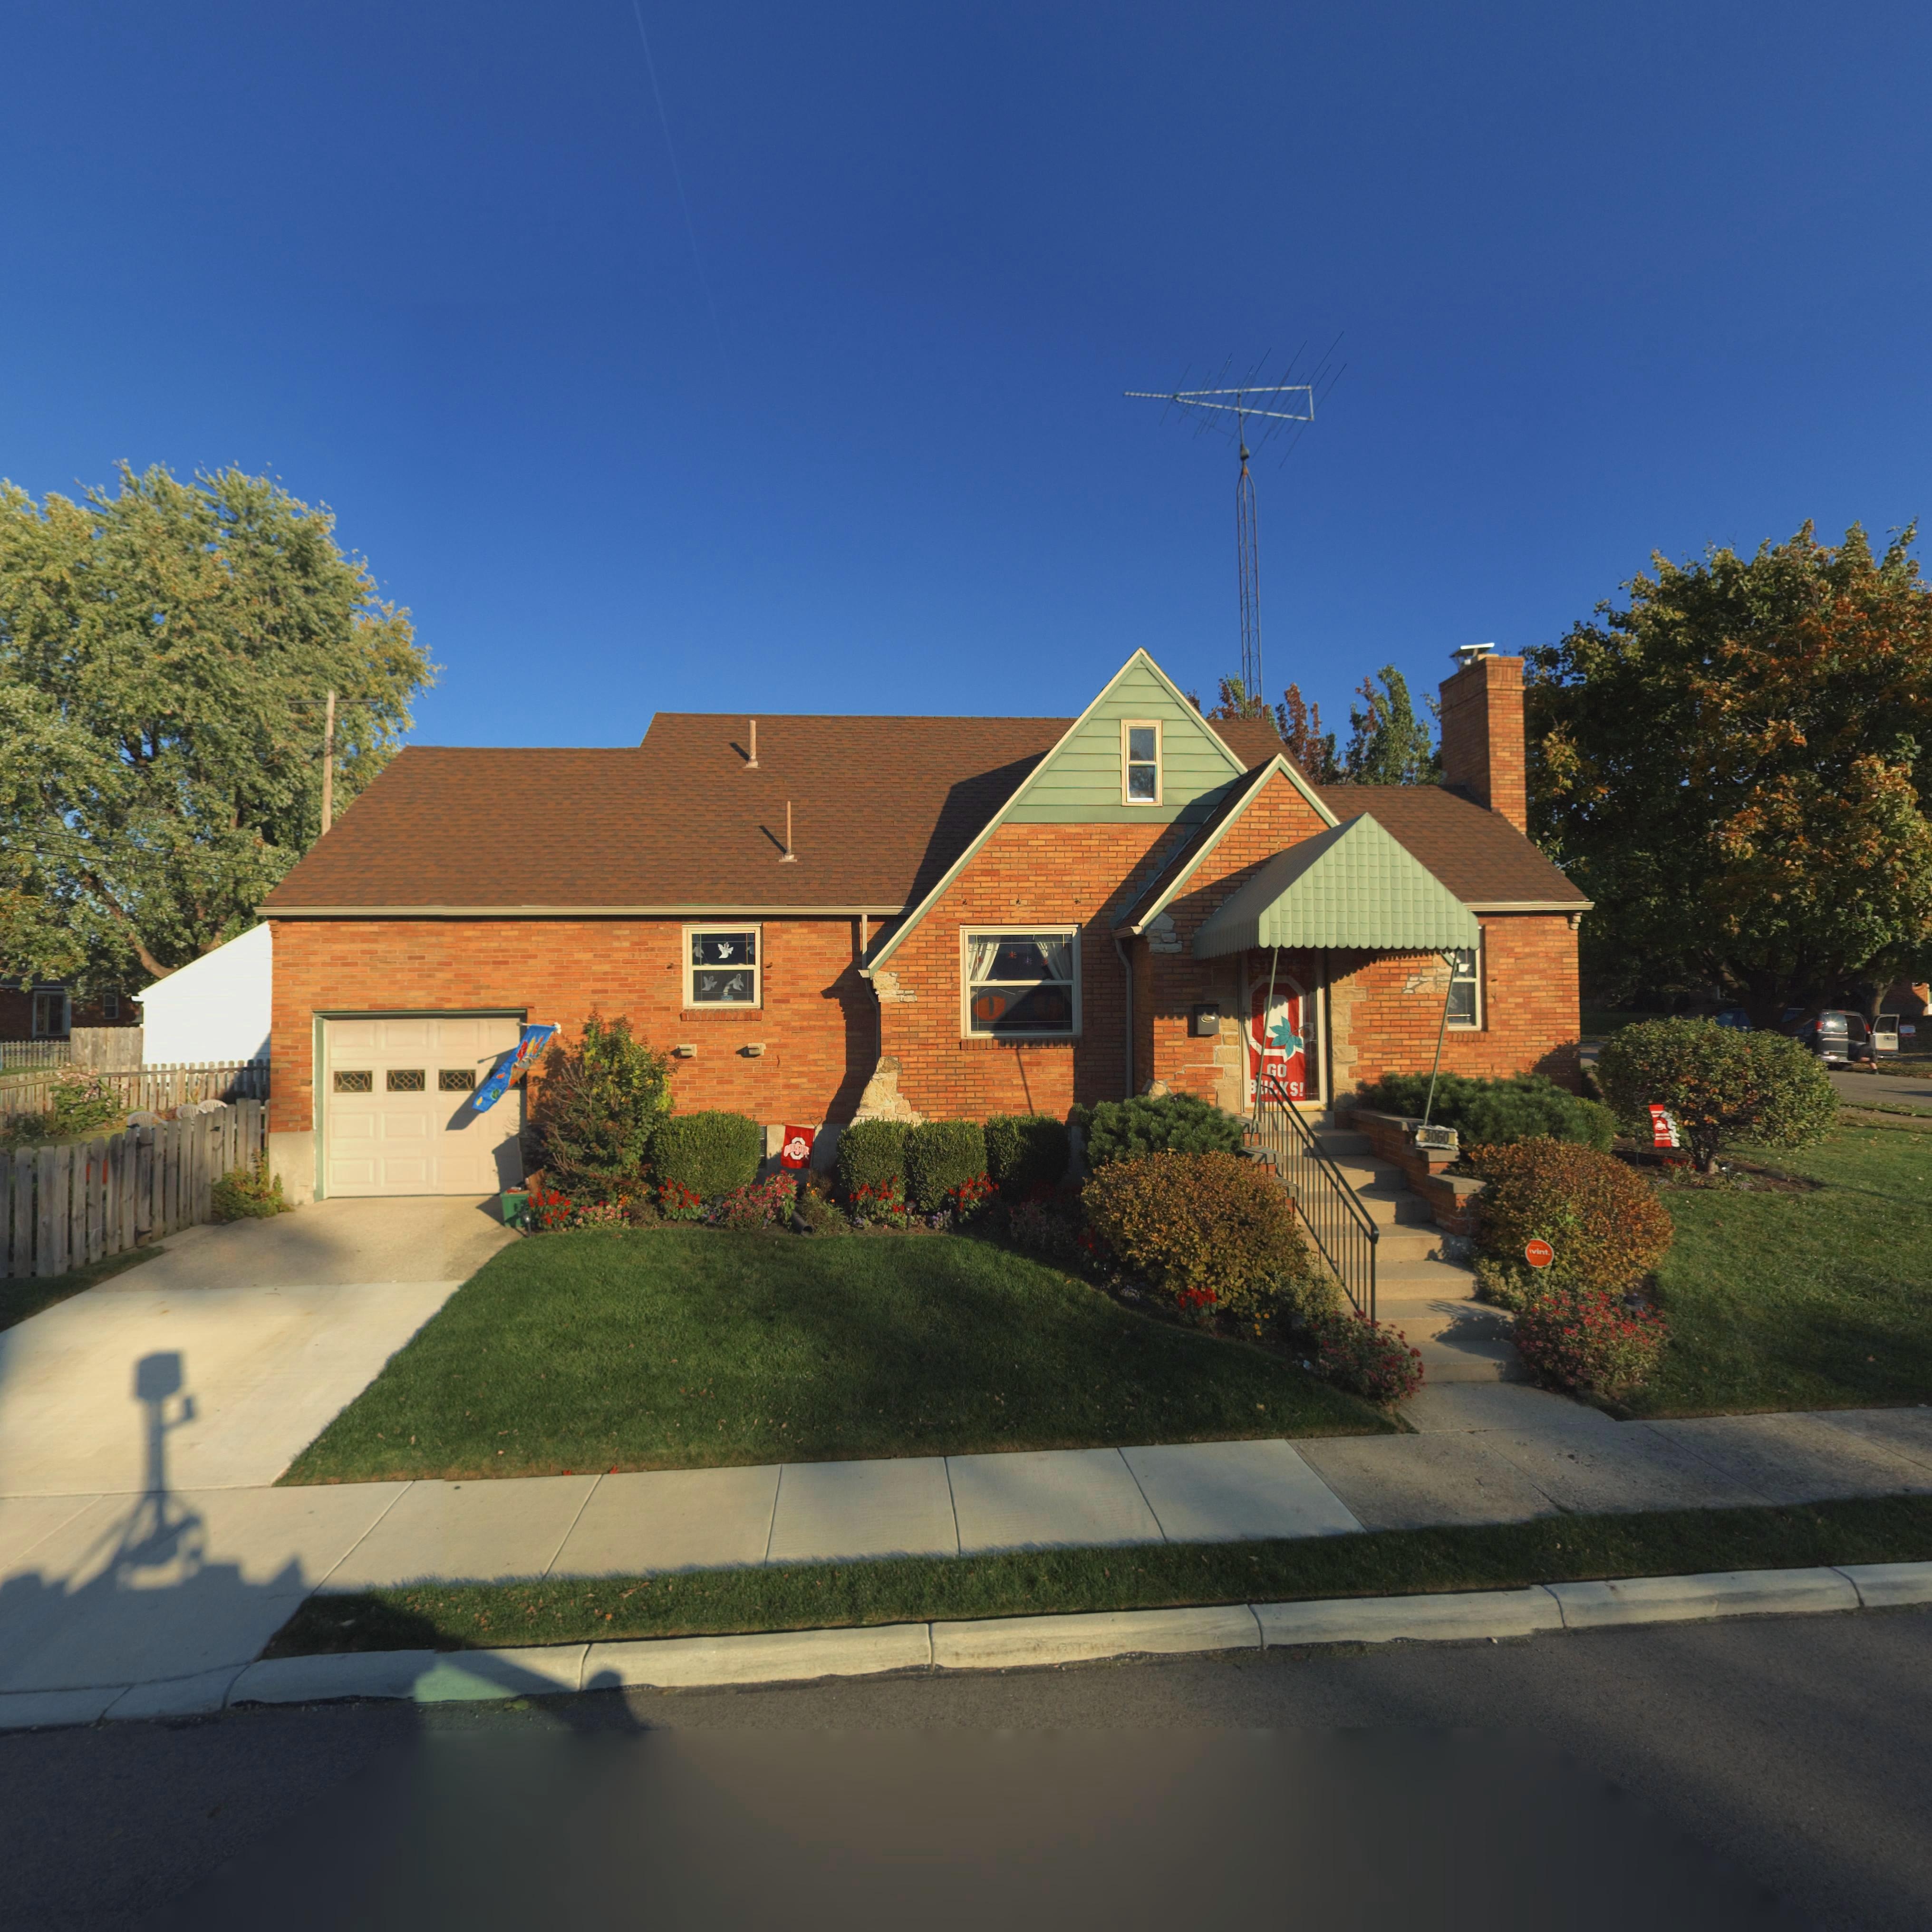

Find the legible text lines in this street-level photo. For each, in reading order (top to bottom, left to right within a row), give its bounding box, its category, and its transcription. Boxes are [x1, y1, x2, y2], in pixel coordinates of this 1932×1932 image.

[1422, 1127, 1451, 1146] StreetNumber: 3060